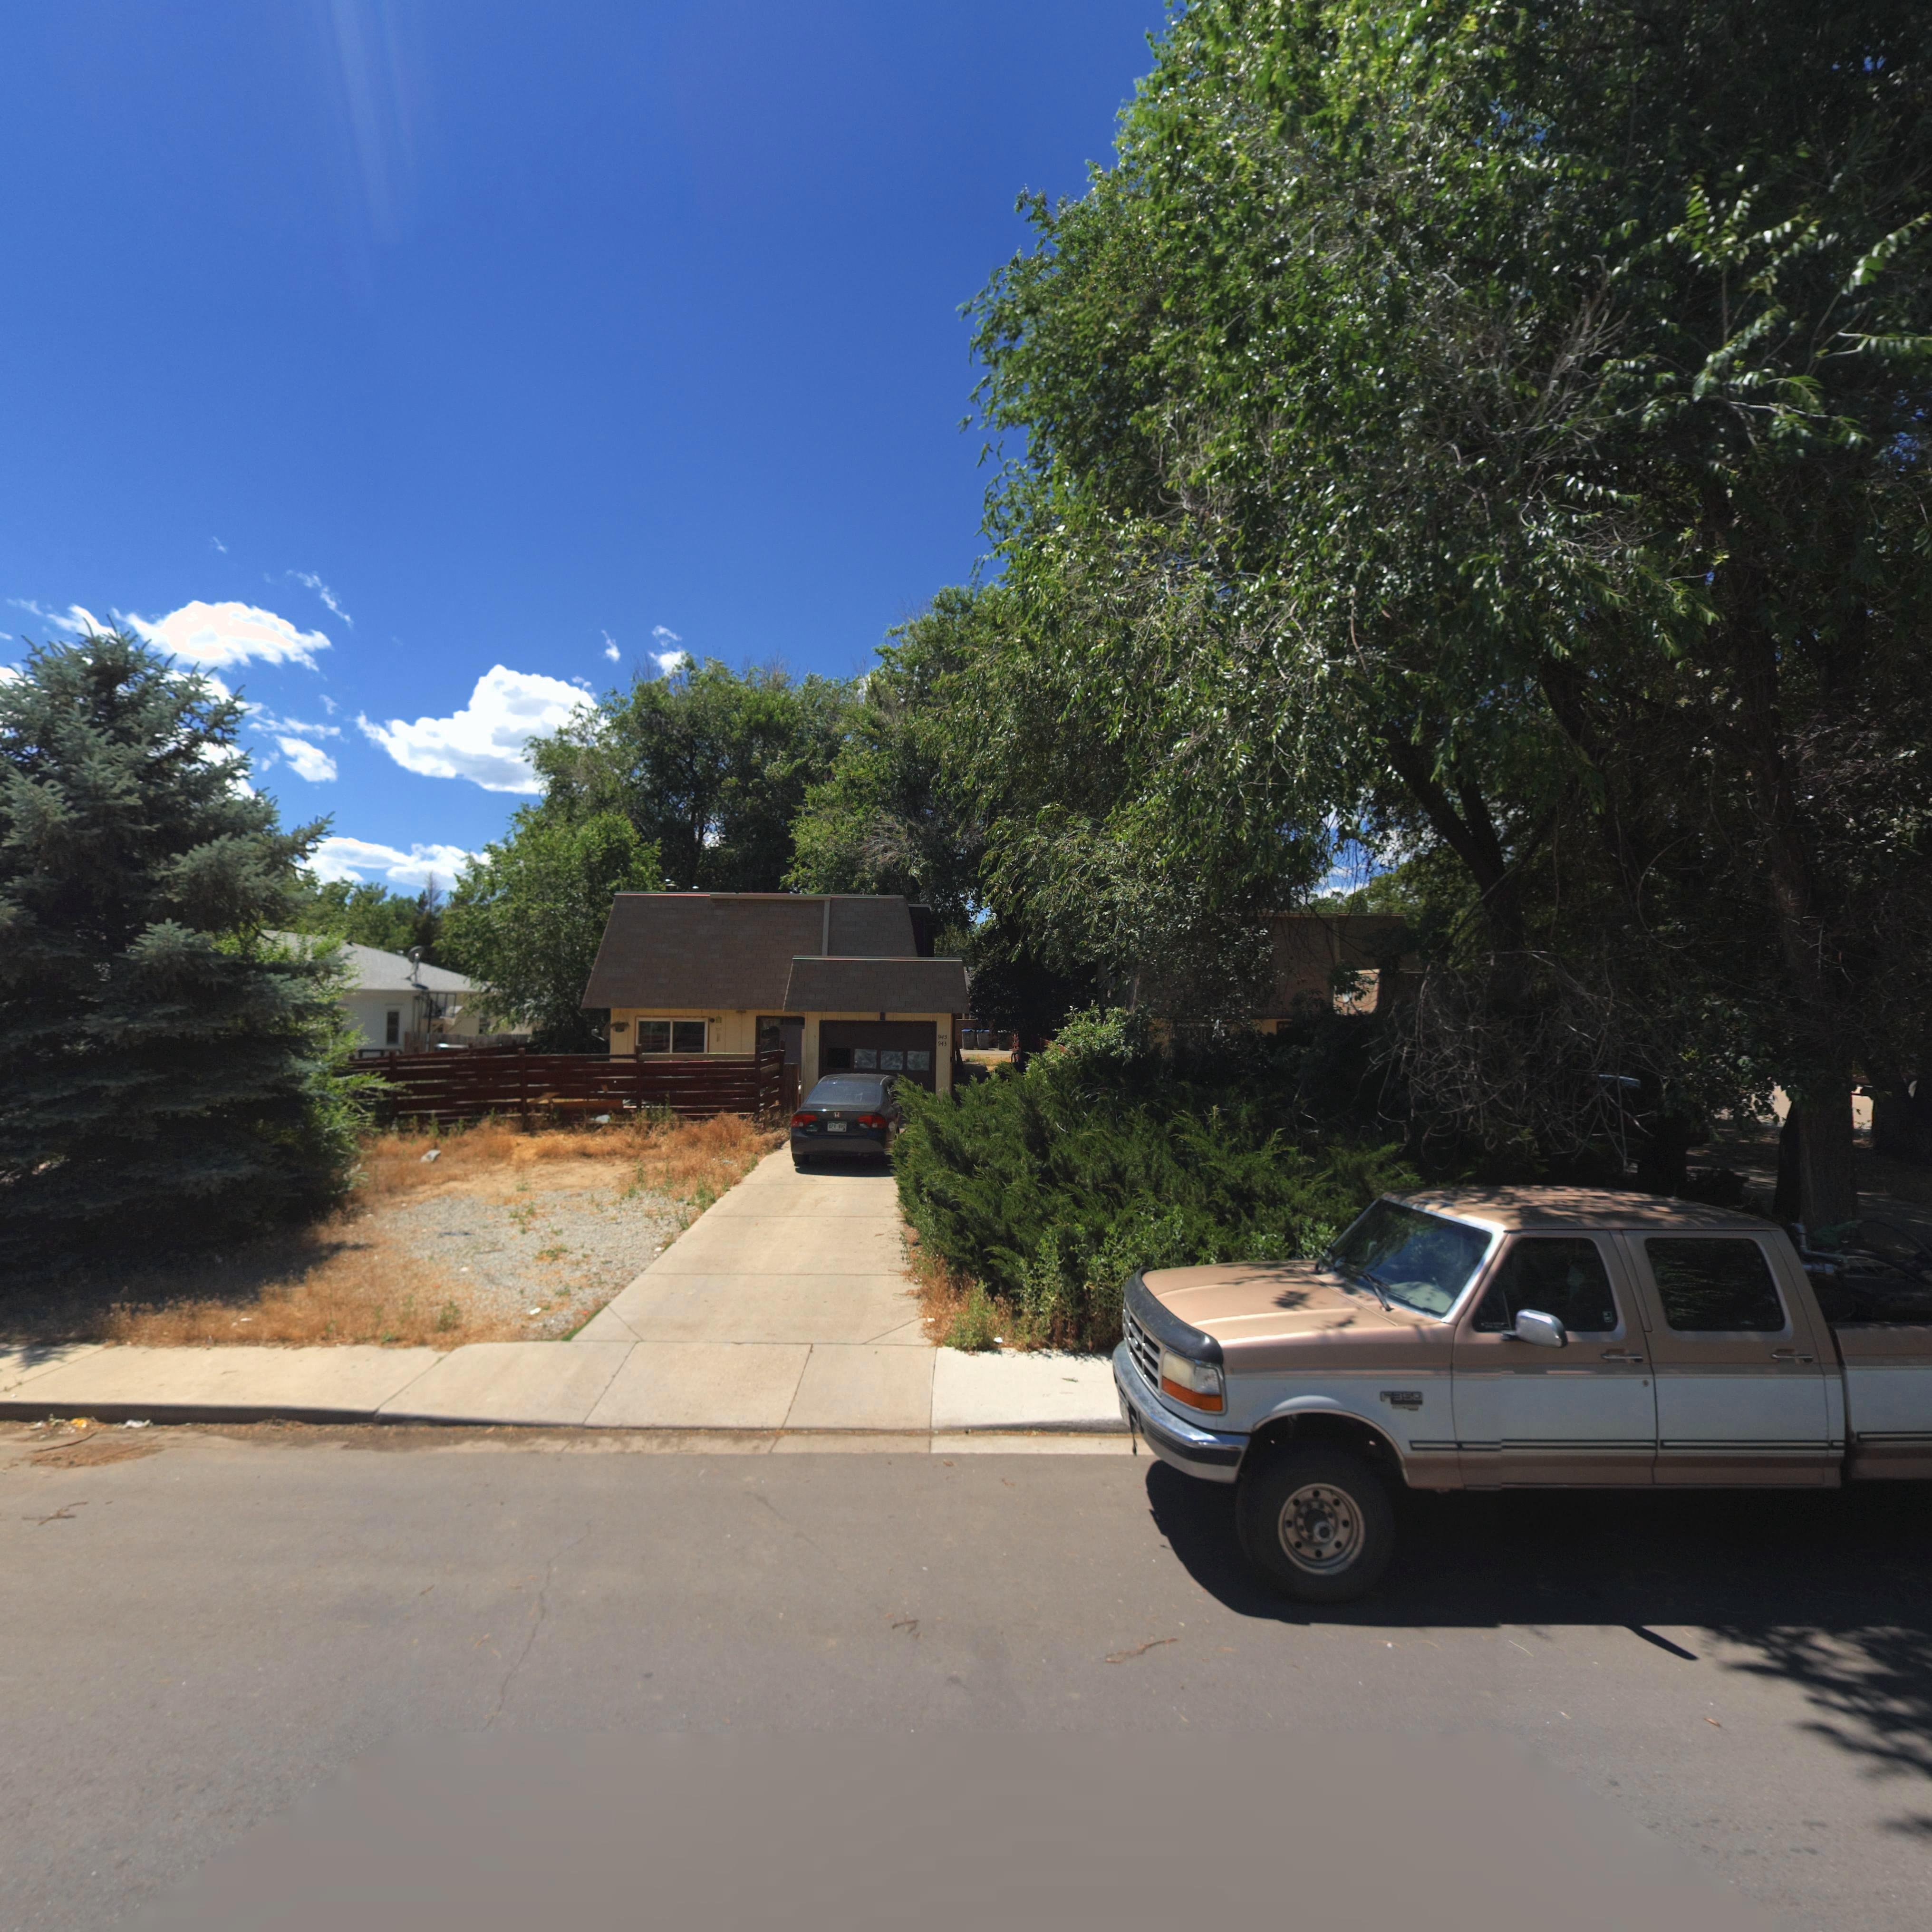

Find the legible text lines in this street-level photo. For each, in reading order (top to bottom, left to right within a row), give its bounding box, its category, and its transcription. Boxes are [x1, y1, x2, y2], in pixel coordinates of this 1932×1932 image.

[937, 1034, 947, 1039] StreetNumber: 94*
[937, 1041, 947, 1046] StreetNumber: 943